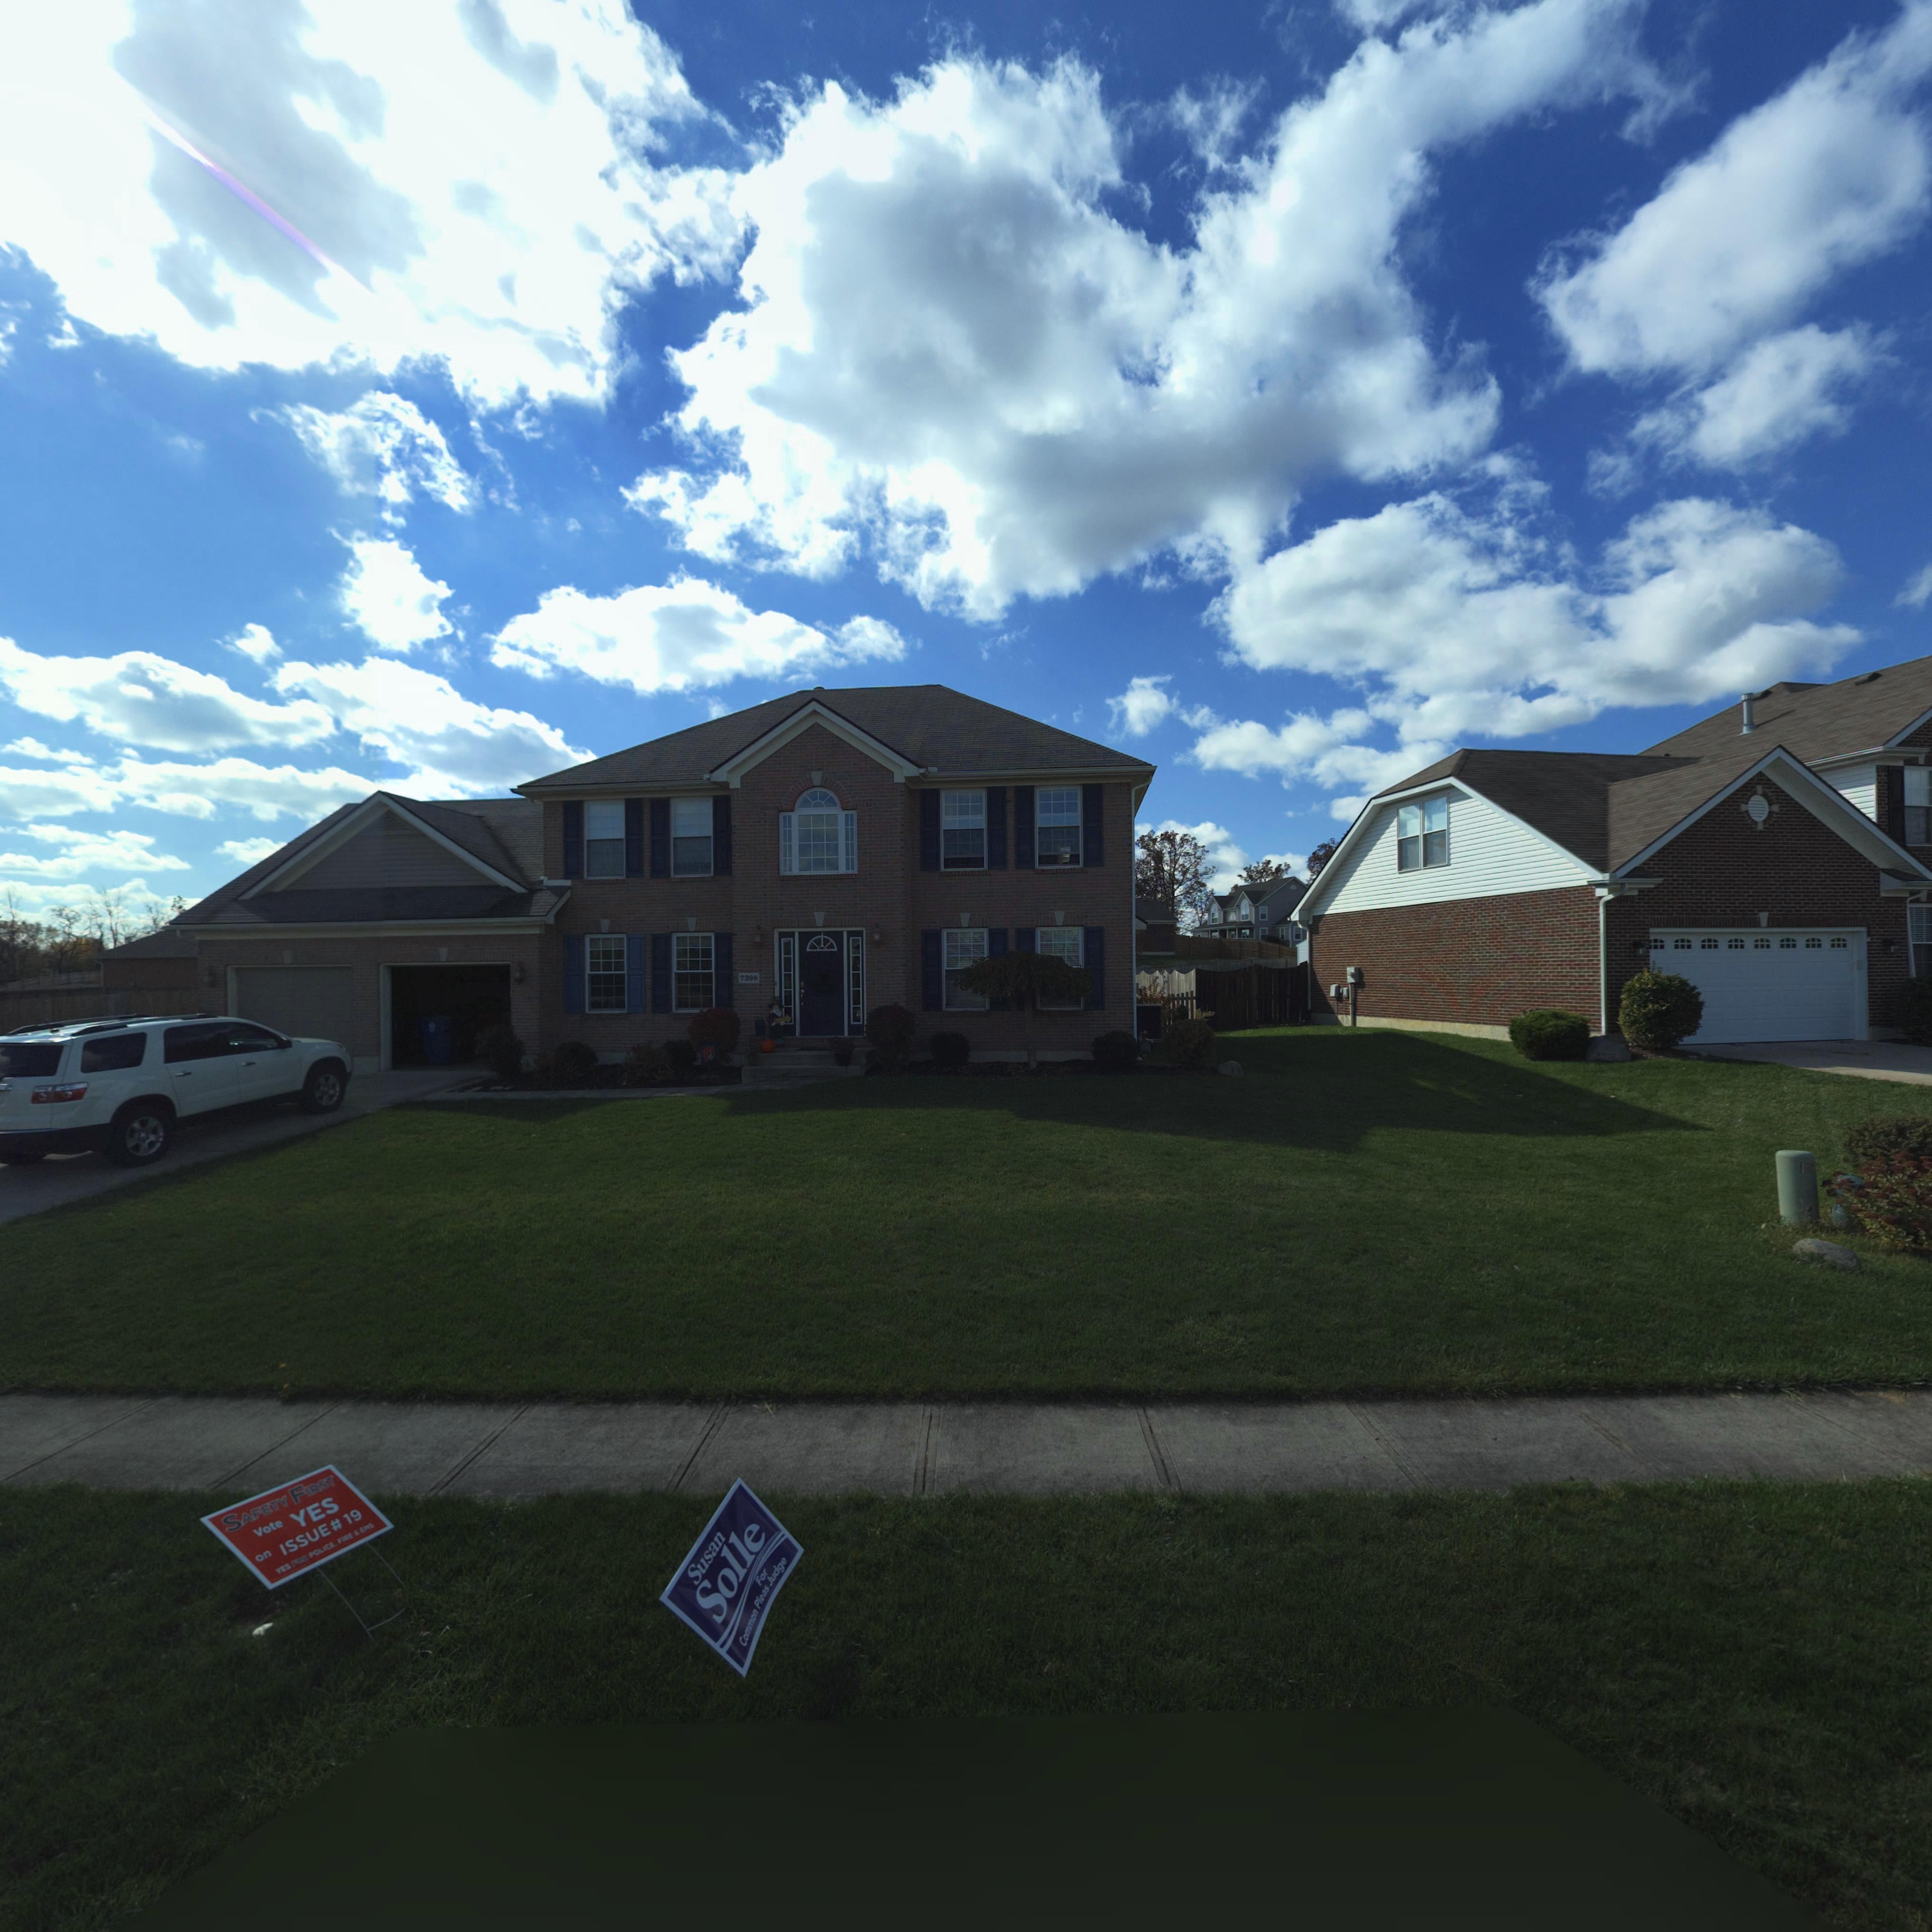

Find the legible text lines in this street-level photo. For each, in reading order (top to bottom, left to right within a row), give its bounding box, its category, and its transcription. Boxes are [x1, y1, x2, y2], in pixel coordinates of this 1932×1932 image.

[739, 975, 759, 982] StreetNumber: 7398